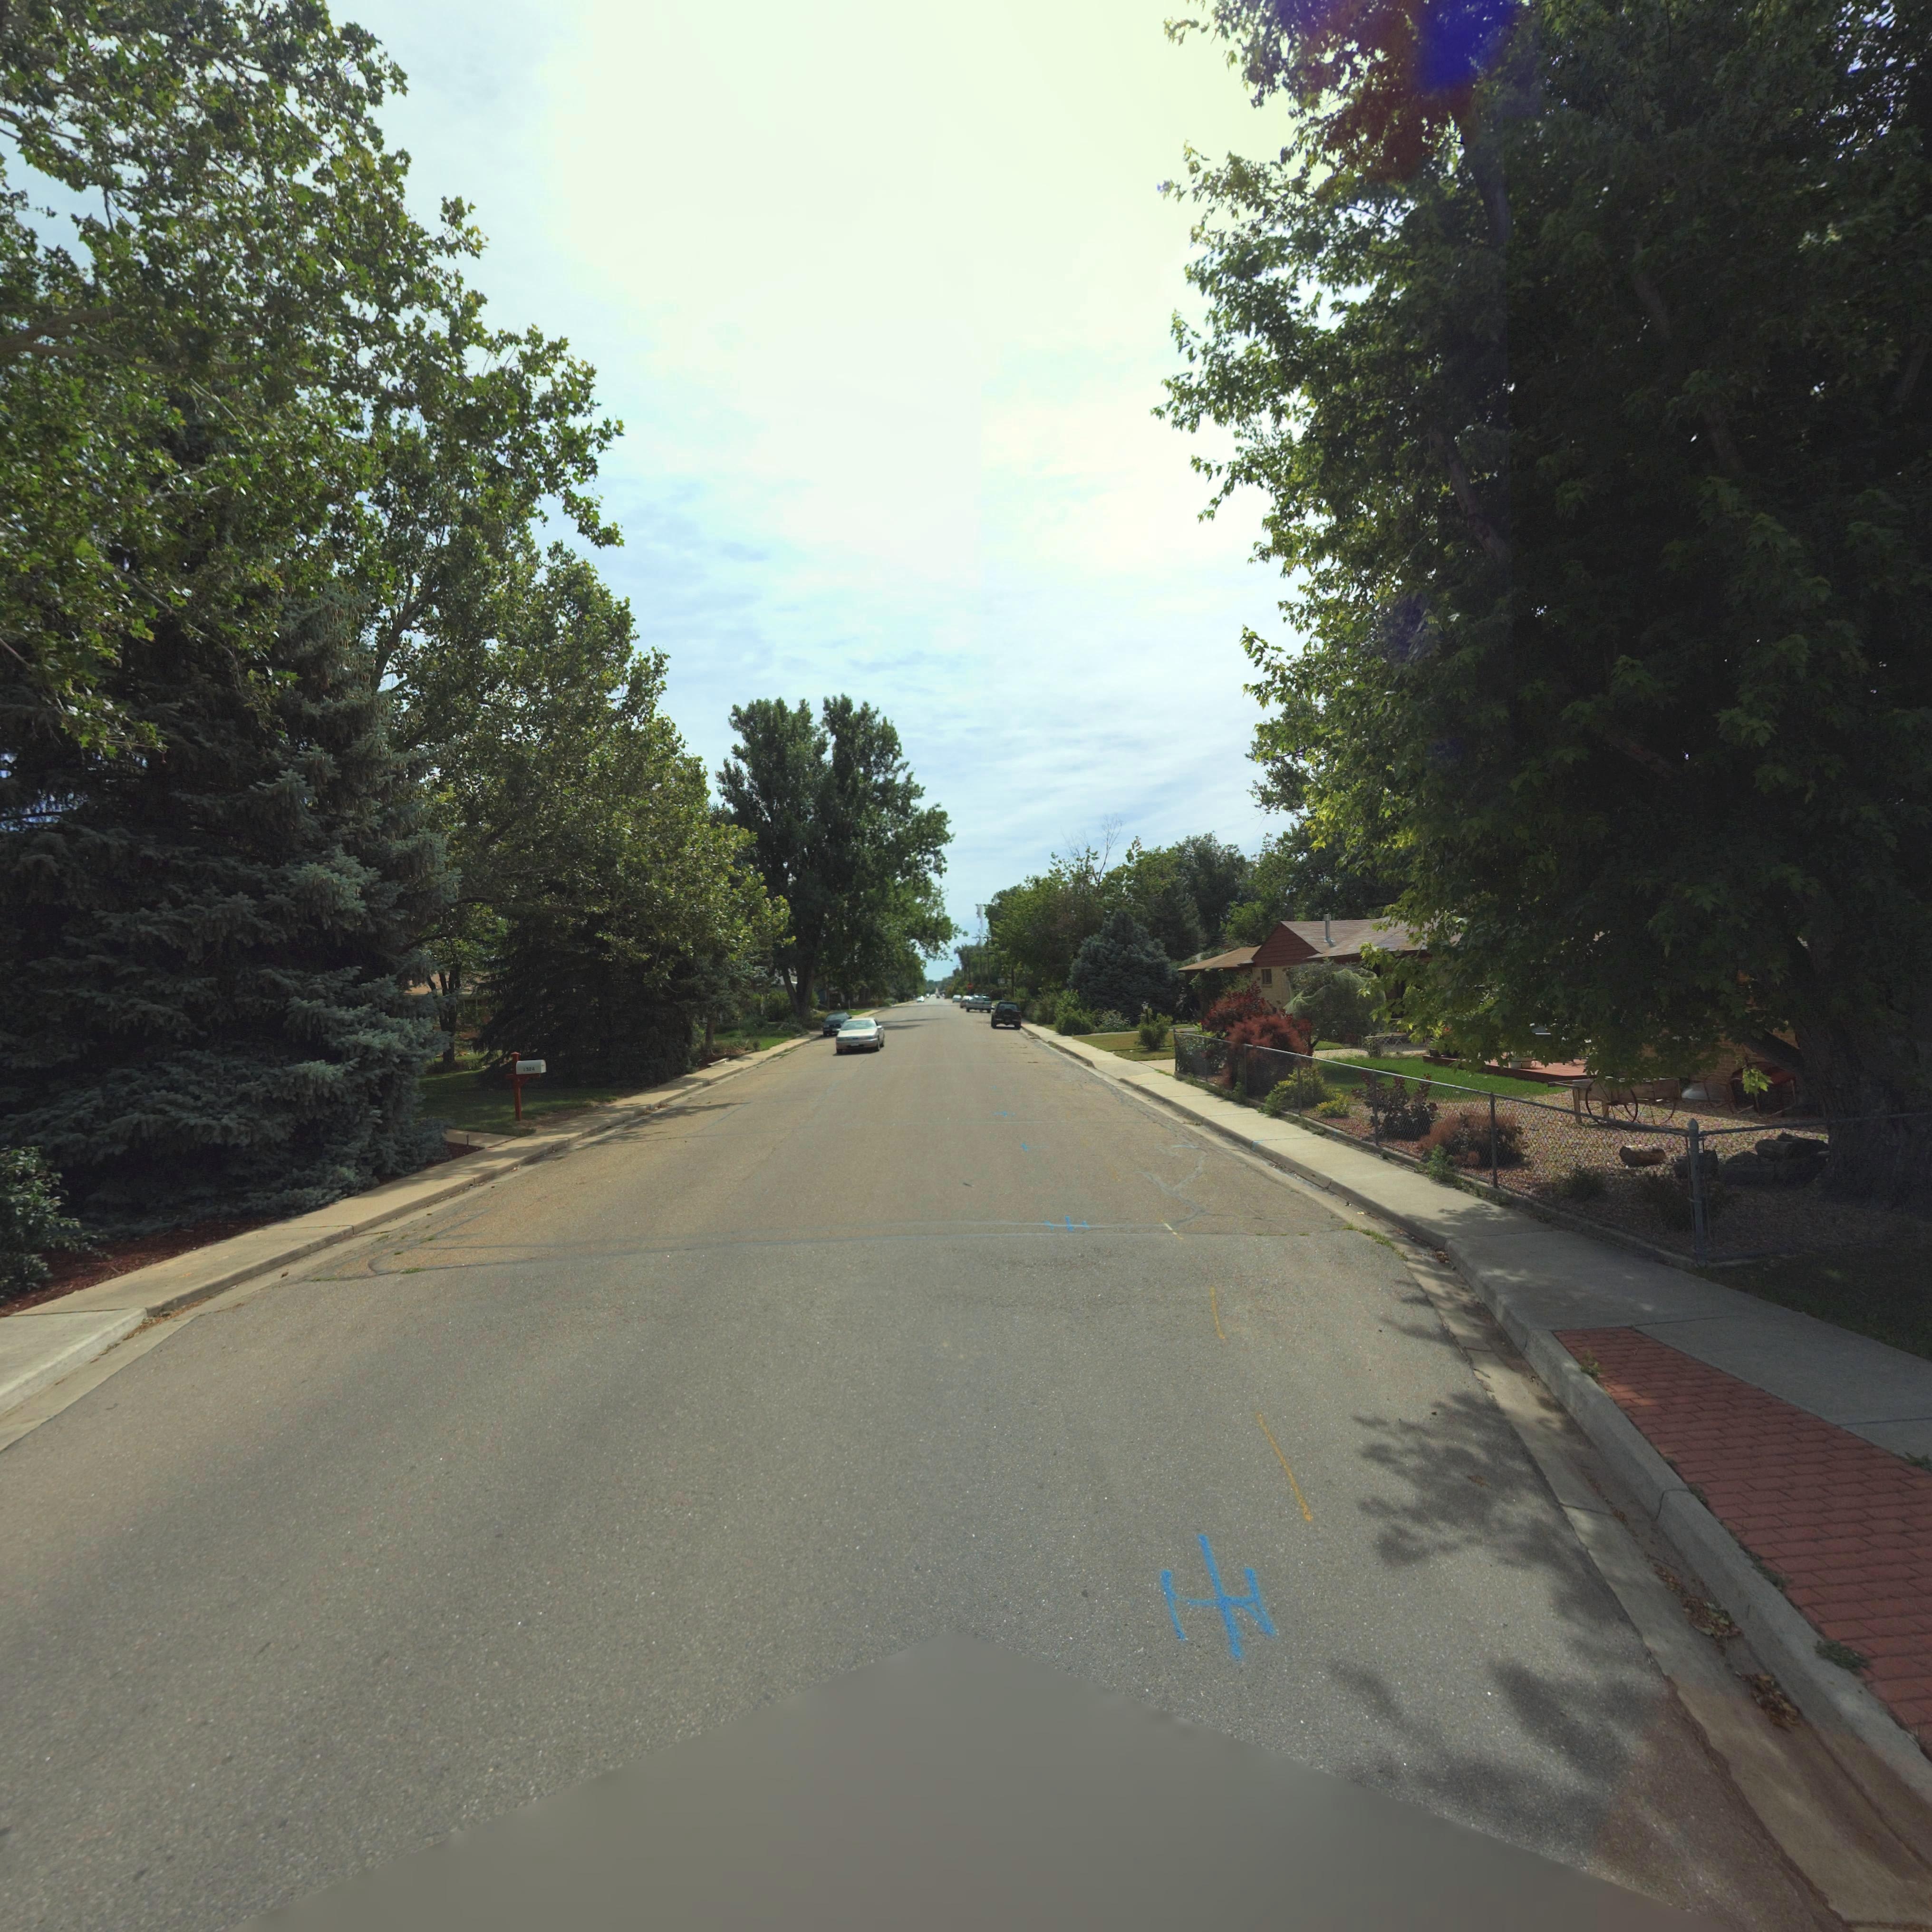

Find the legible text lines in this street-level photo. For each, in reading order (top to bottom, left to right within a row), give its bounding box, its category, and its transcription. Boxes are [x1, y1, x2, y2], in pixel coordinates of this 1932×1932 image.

[523, 1066, 535, 1072] StreetNumber: 1324